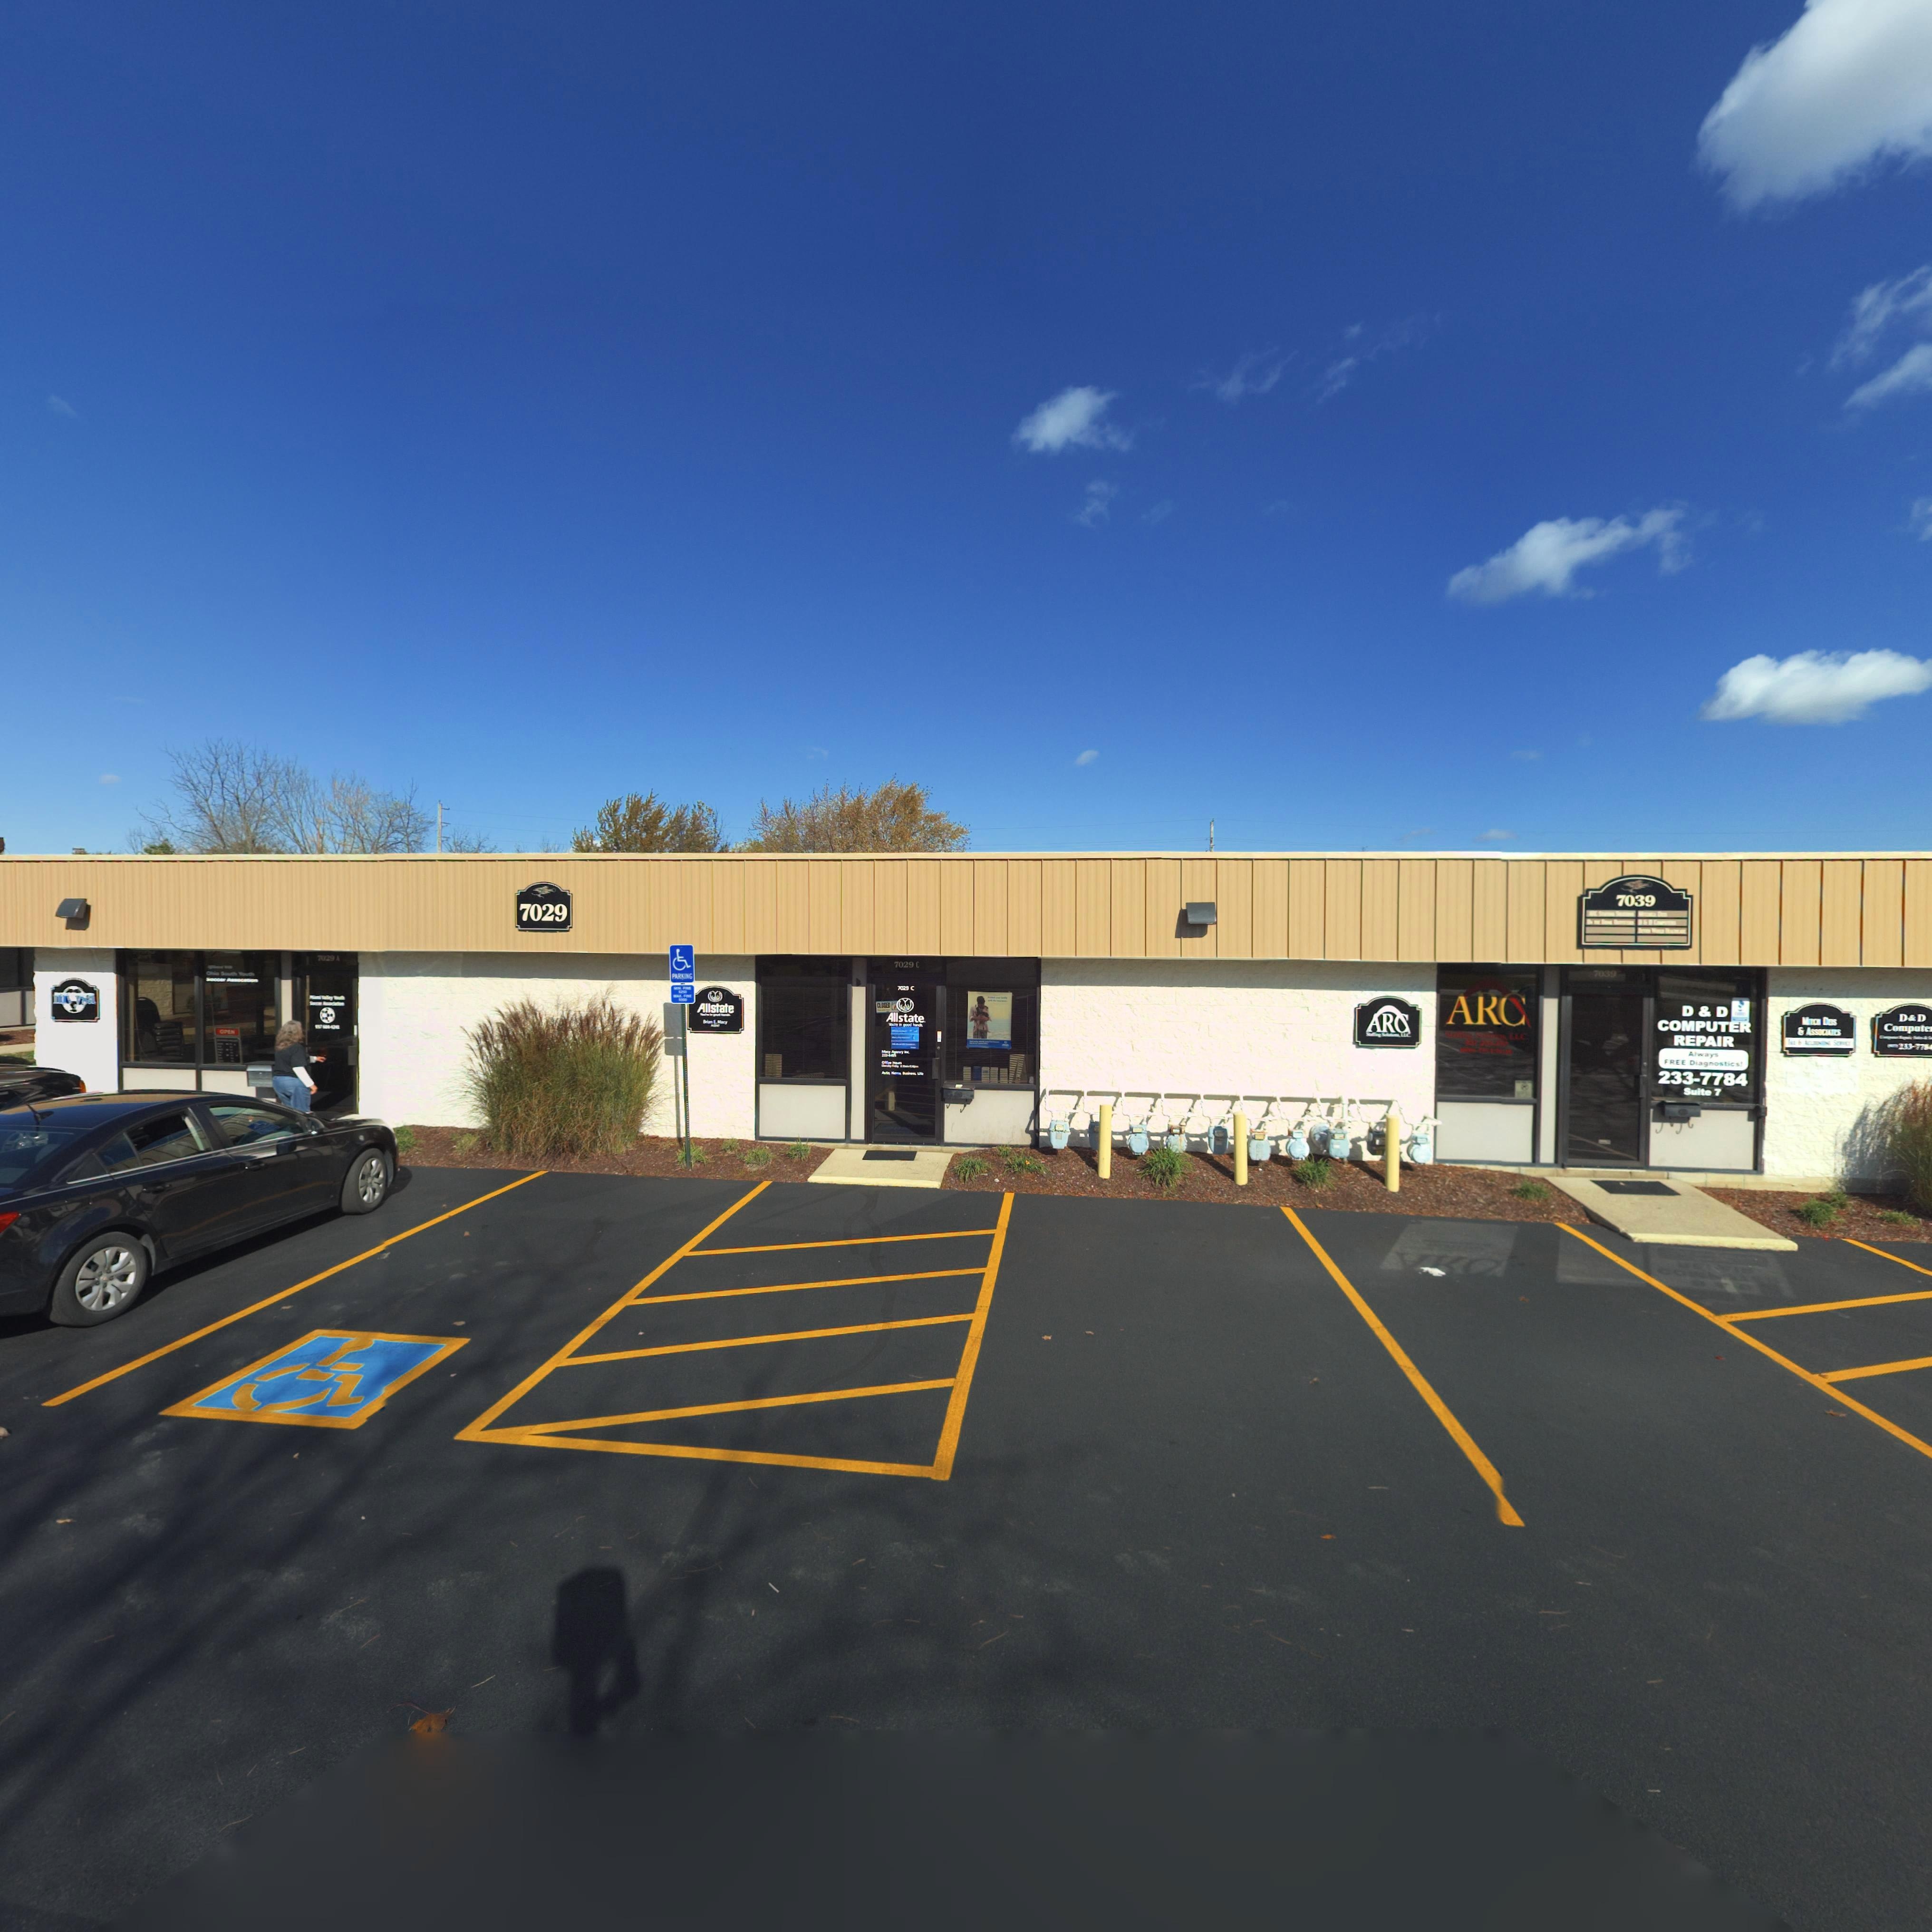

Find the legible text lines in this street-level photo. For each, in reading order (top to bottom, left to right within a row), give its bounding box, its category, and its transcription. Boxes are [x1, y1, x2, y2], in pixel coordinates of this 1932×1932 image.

[1615, 894, 1657, 908] StreetNumber: 7039
[518, 901, 570, 923] StreetNumber: 7029
[316, 954, 341, 962] StreetNumber: 7029 A
[893, 960, 921, 969] StreetNumber: 7029 C
[1592, 969, 1619, 979] StreetNumber: 7039
[896, 985, 916, 992] StreetNumber: 7029 C